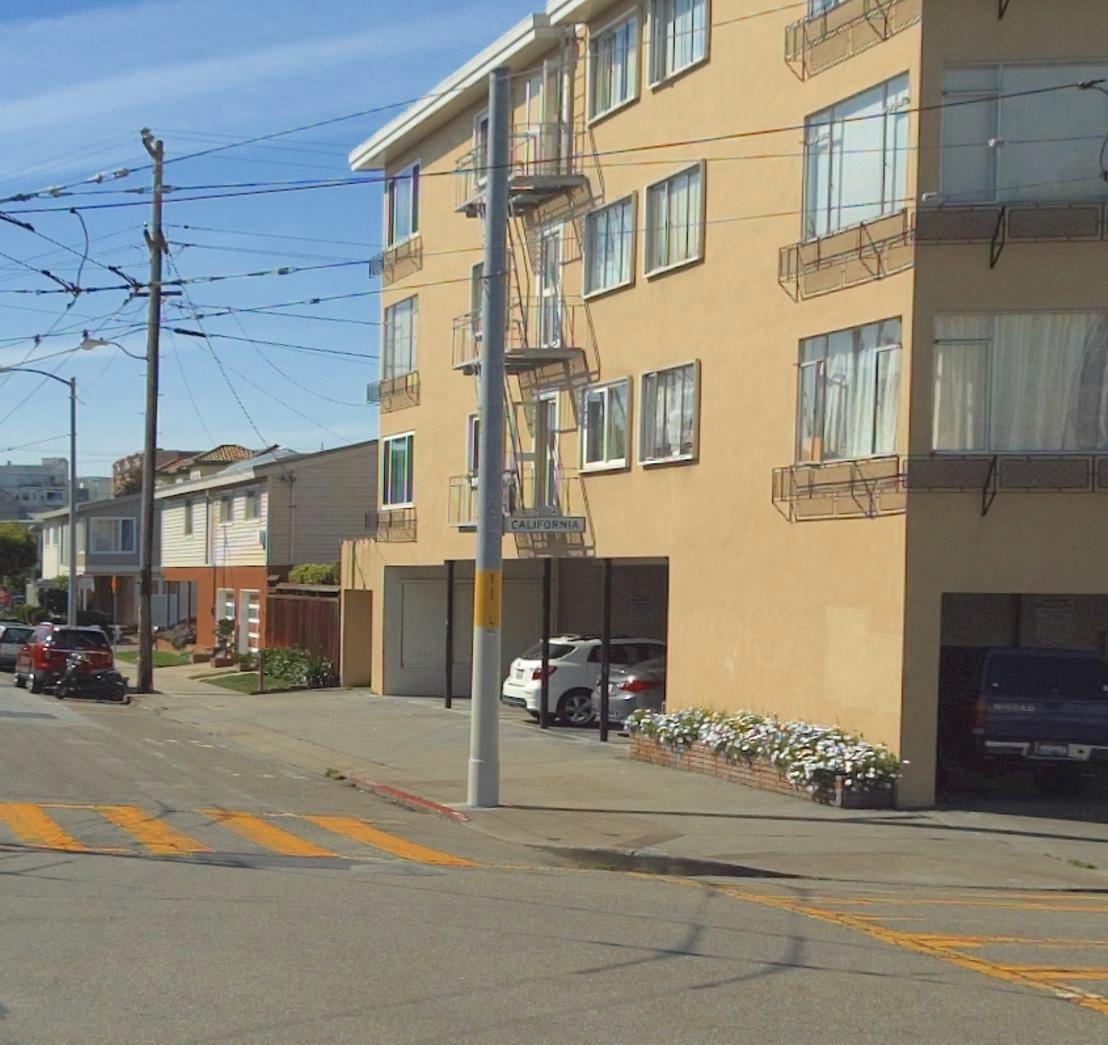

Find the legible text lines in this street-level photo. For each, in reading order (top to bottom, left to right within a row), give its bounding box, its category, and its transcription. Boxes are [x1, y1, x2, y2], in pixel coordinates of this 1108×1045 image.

[509, 519, 580, 531] StreetName: CALIFORNIA